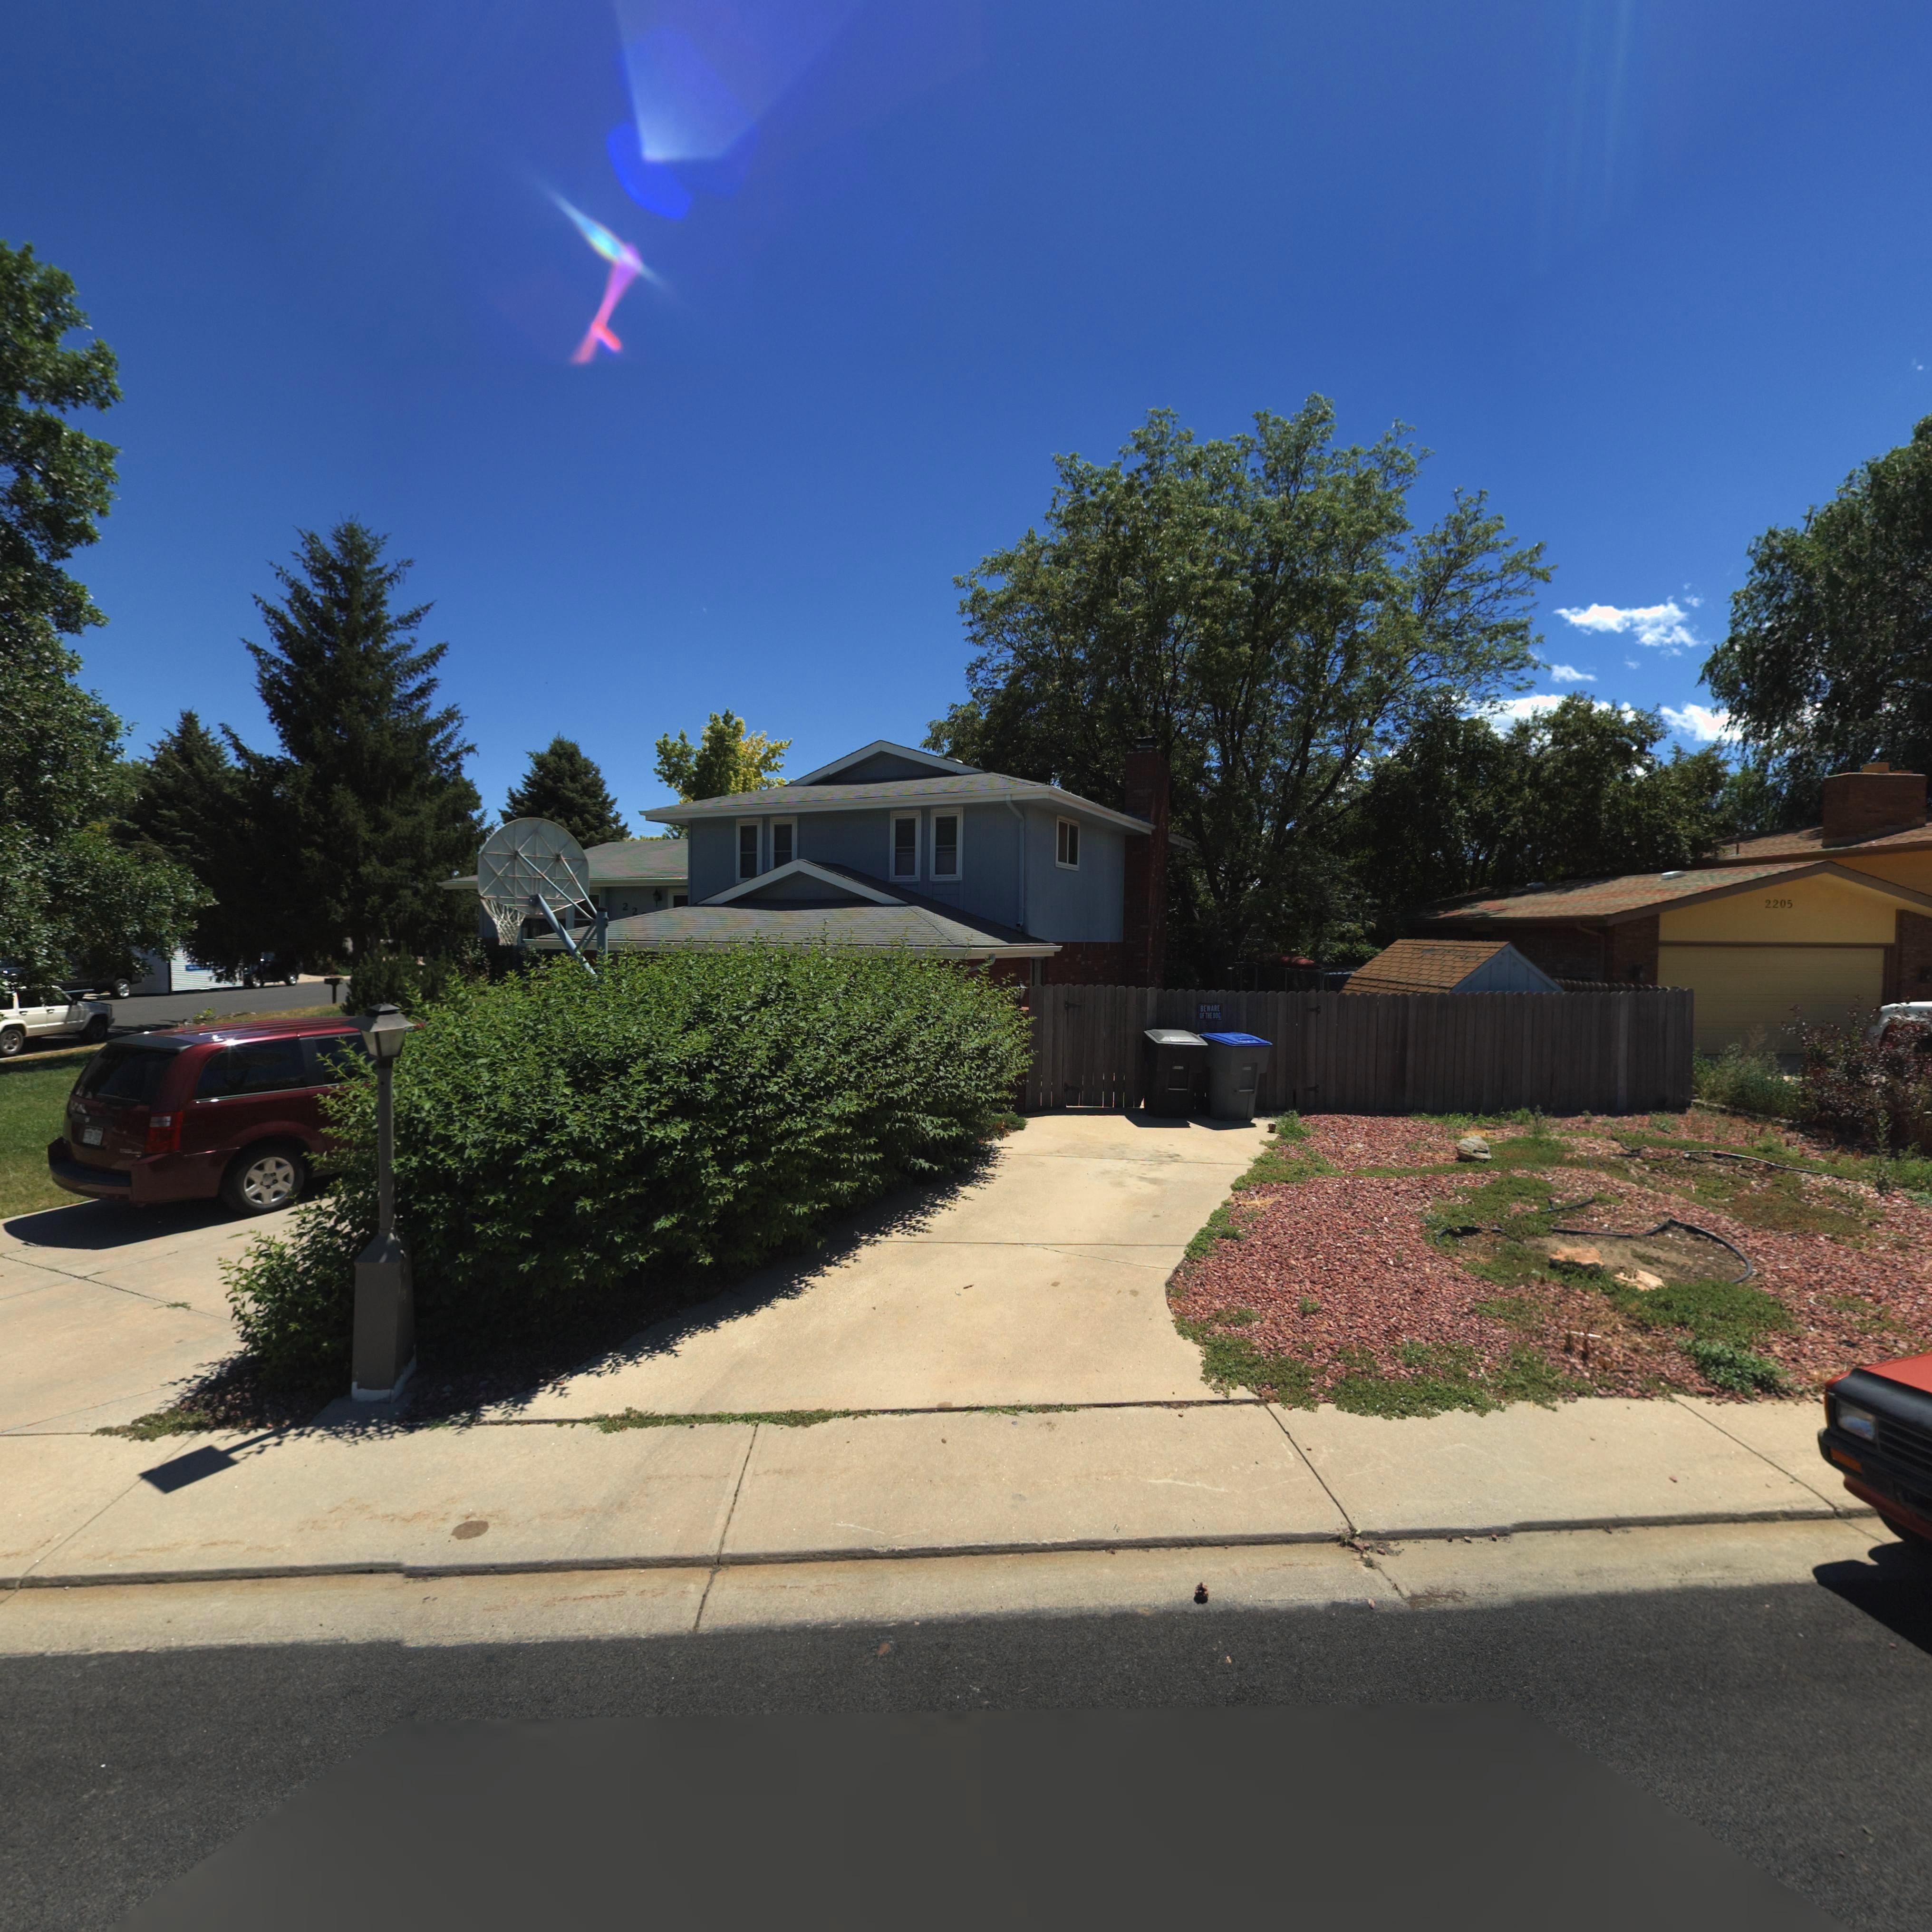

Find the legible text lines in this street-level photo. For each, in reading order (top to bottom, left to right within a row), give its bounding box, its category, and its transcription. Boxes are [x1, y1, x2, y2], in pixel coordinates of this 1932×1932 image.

[1763, 899, 1794, 908] StreetNumber: 2205